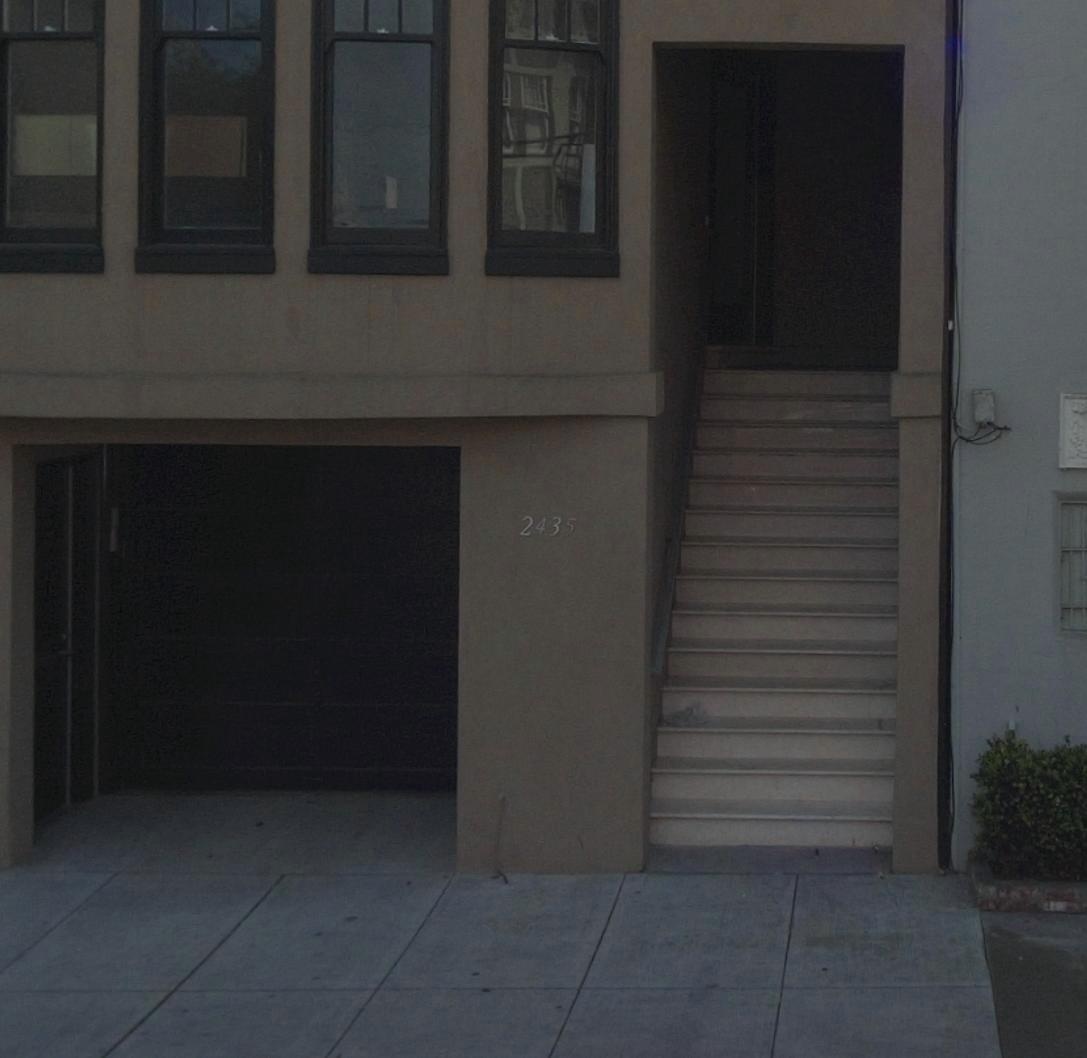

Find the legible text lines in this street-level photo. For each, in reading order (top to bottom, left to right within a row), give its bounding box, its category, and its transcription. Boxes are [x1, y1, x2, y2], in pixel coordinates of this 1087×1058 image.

[515, 513, 580, 540] StreetNumber: 2435